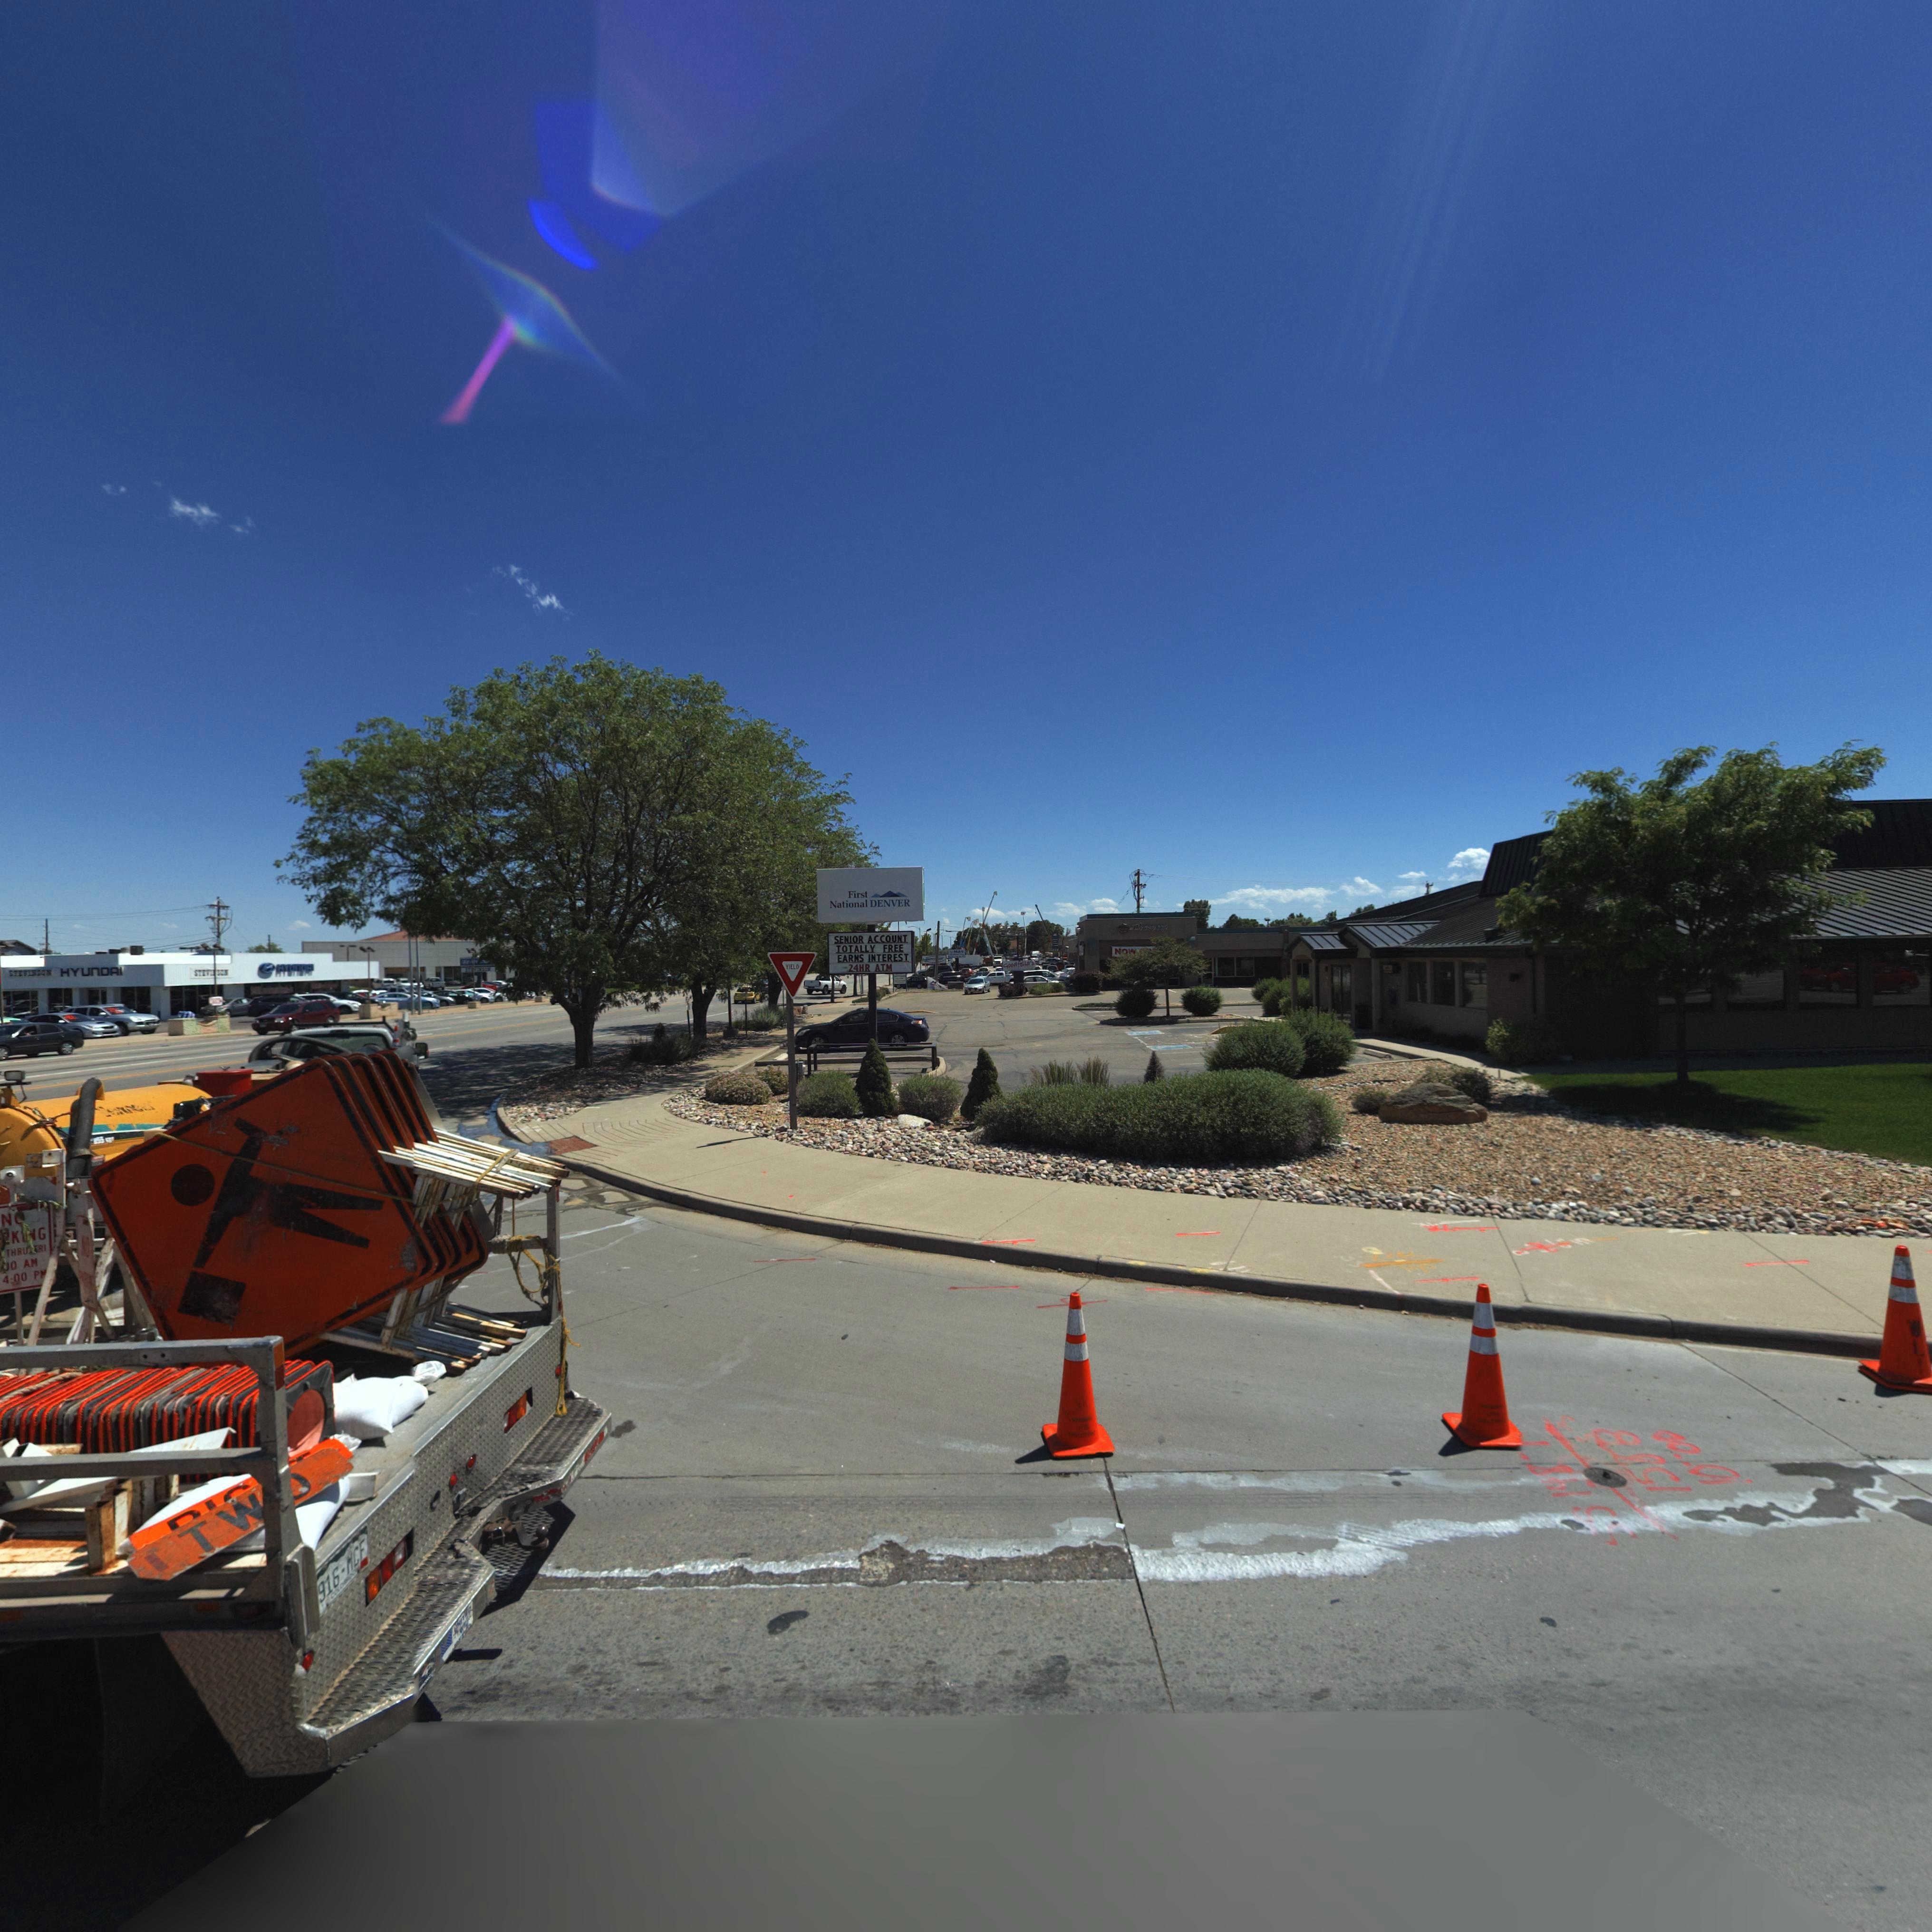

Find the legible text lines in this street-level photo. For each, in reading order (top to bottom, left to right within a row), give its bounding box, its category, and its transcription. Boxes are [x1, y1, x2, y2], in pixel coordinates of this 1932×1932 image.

[847, 889, 869, 898] BusinessName: First
[829, 898, 911, 909] BusinessName: National DENVER
[1131, 922, 1169, 933] BusinessName: Ph******
[953, 950, 964, 954] BusinessName: MA*
[9, 969, 51, 976] BusinessName: STE******
[60, 966, 123, 977] BusinessName: HYUNDAI
[193, 969, 229, 976] BusinessName: STEV*S***
[276, 963, 314, 972] BusinessName: HYUNDAI
[1003, 960, 1034, 968] BusinessName: Goodfella's